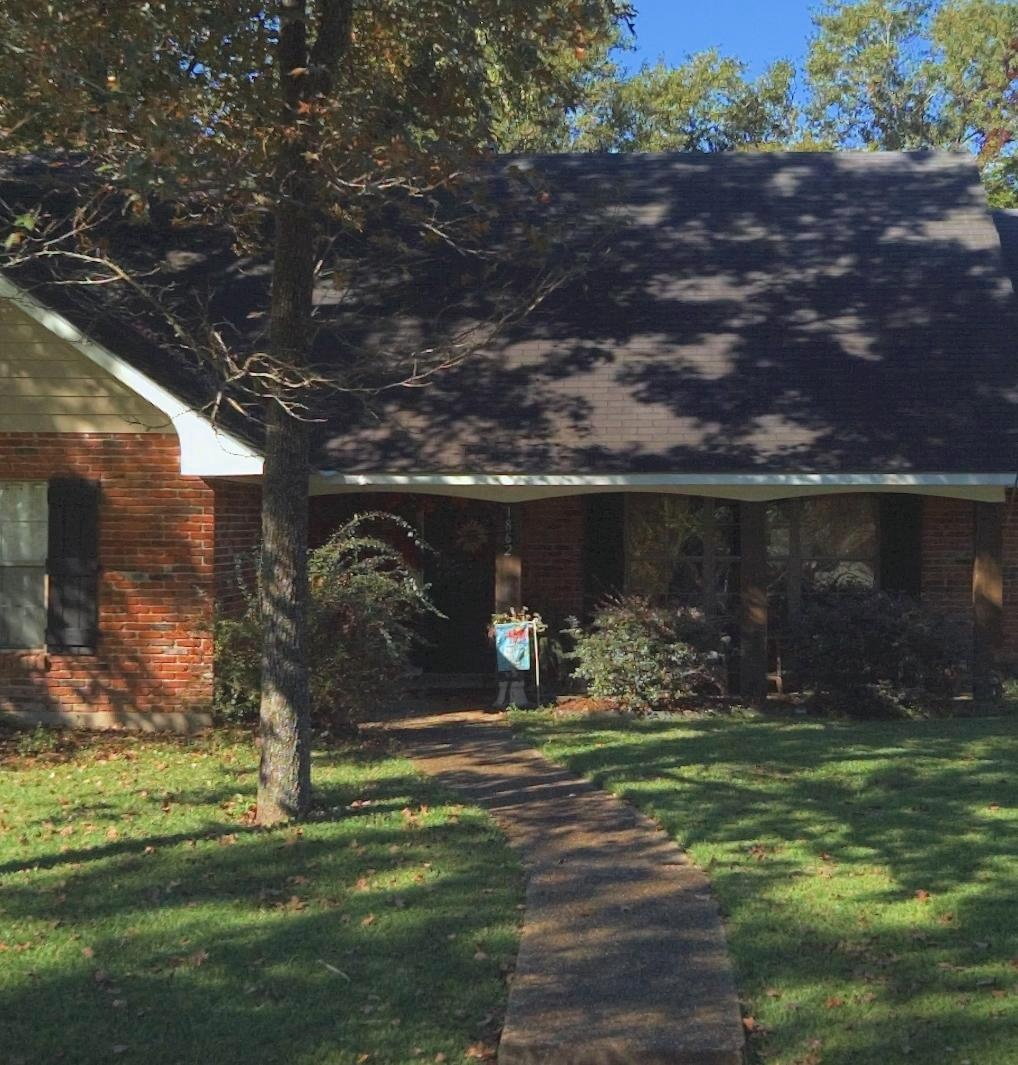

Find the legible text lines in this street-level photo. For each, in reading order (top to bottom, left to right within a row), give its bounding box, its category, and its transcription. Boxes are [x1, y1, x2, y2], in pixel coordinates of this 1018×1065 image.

[502, 504, 514, 558] StreetNumber: 1862